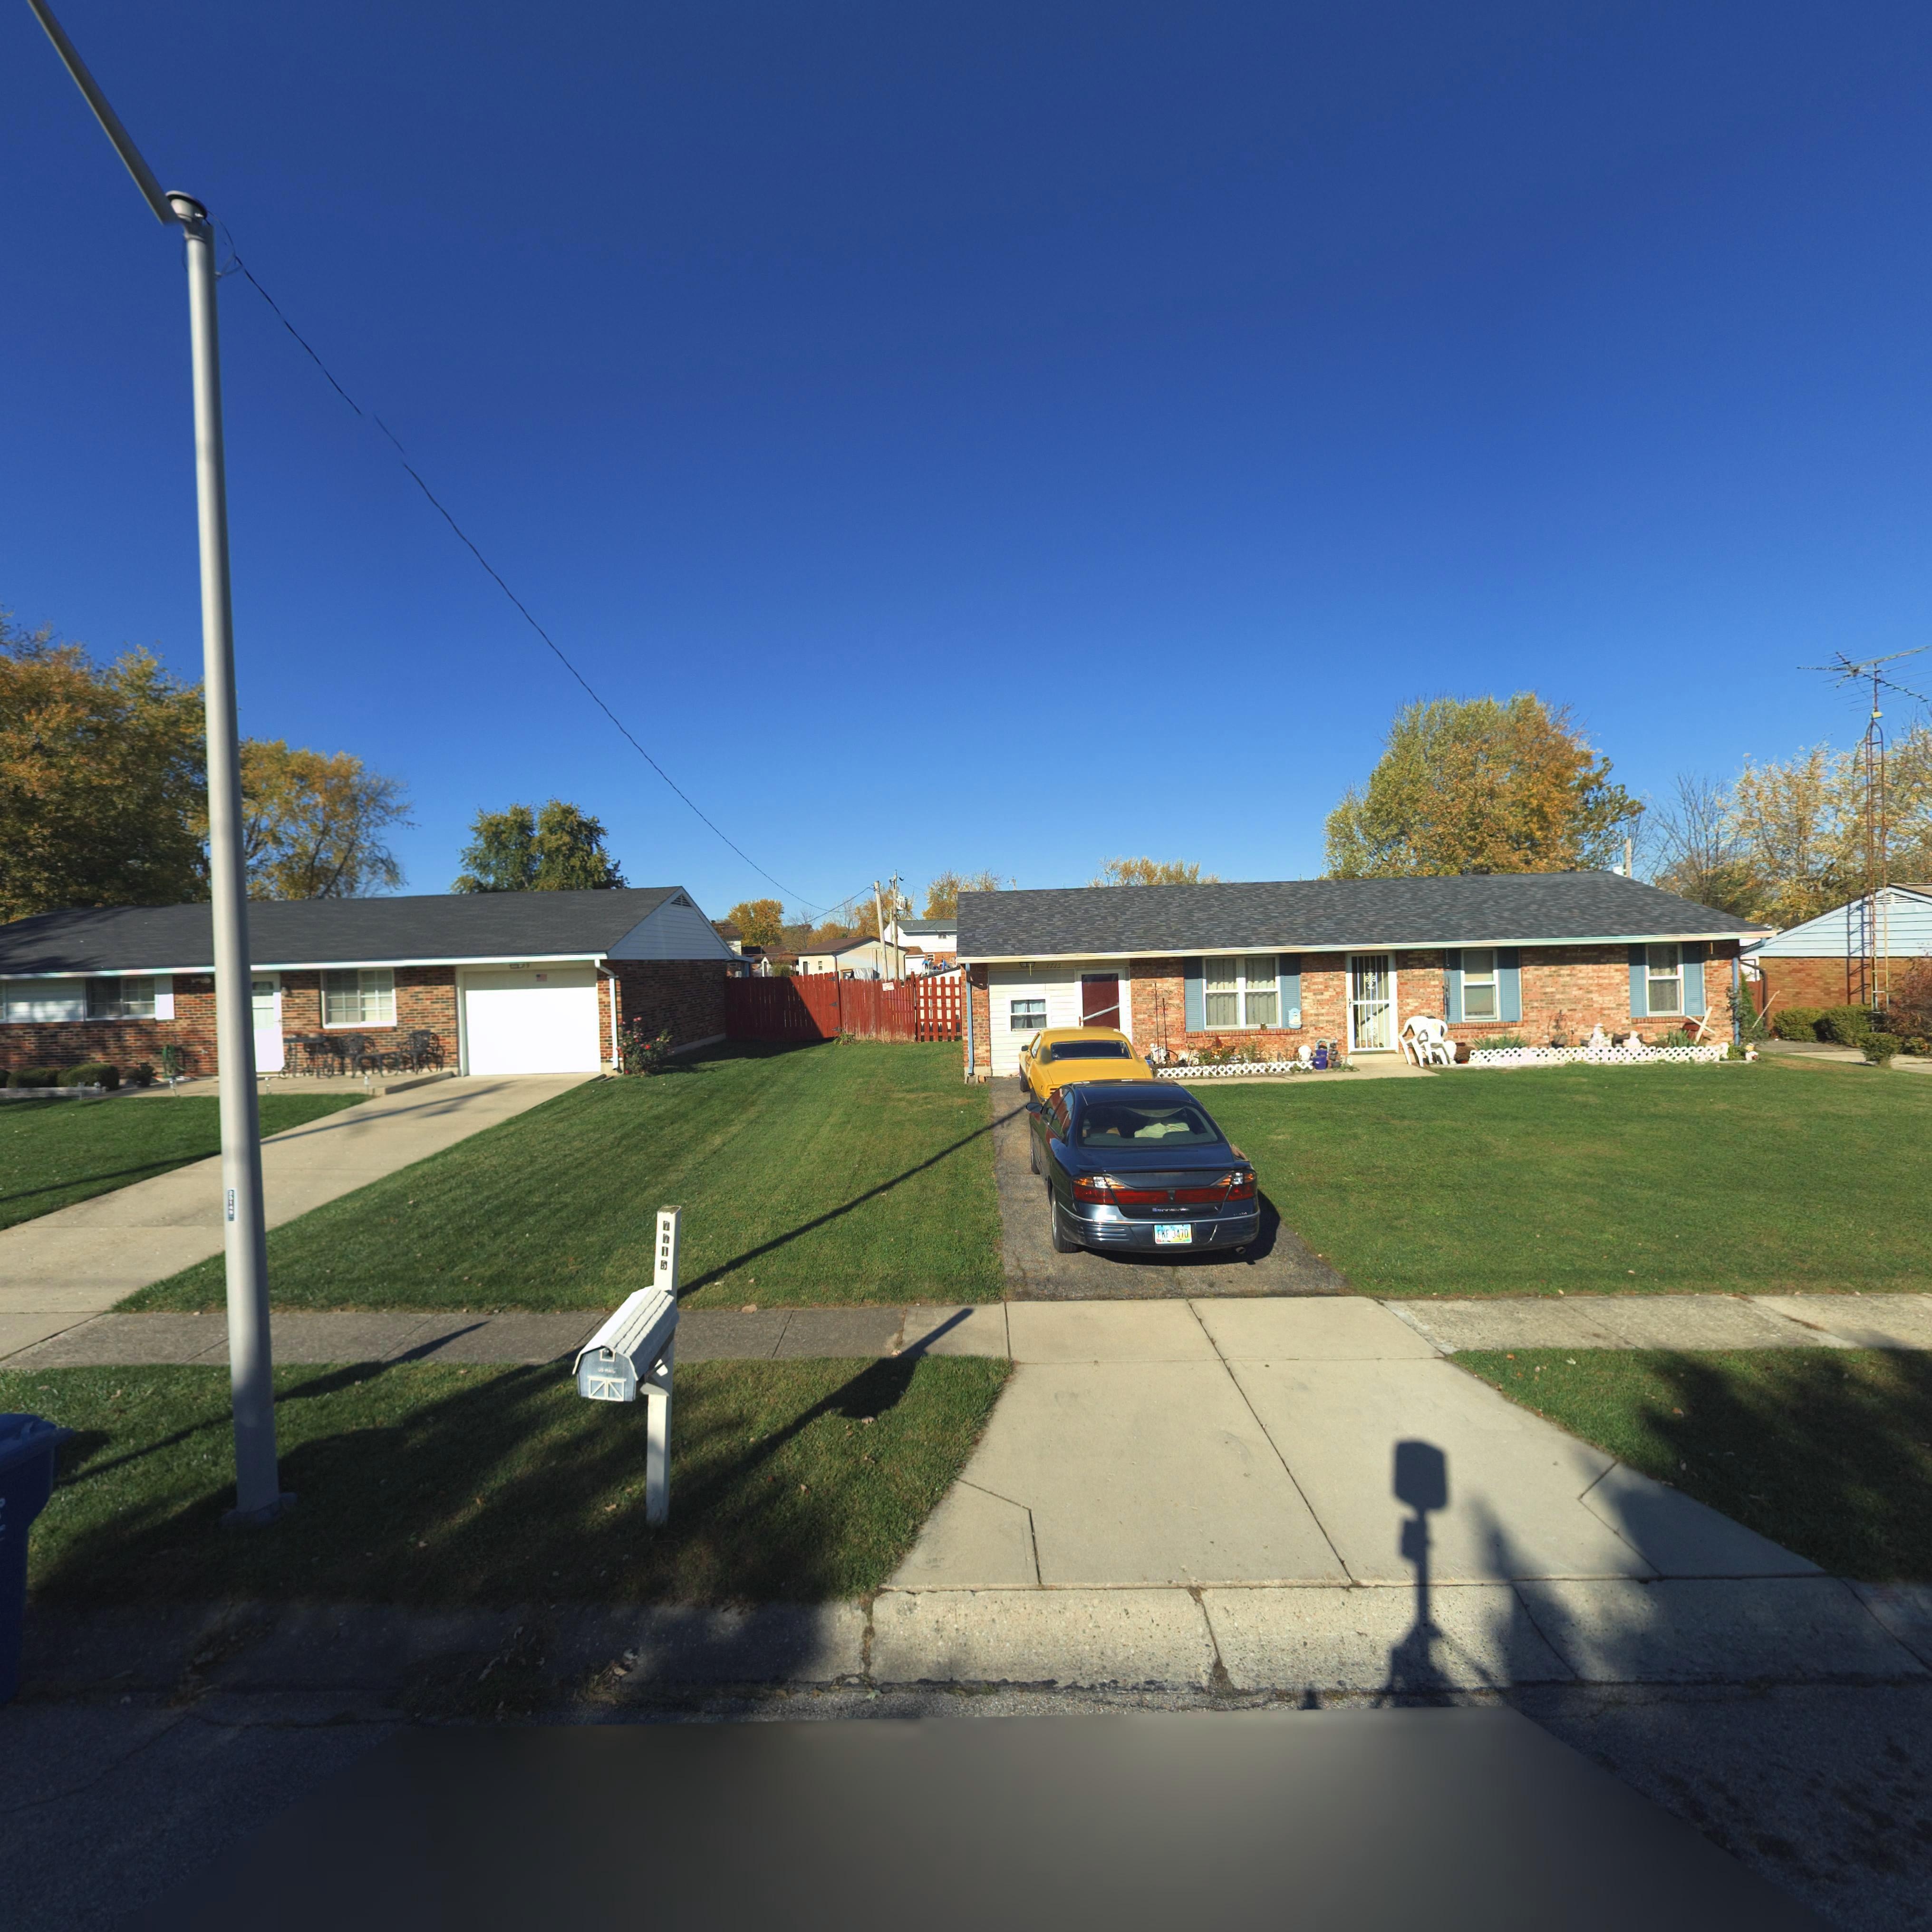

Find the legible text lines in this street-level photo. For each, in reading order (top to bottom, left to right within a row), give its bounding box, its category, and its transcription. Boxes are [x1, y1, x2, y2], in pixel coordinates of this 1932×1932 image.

[525, 961, 531, 969] StreetNumber: 9
[1045, 962, 1062, 969] StreetNumber: 7715
[660, 1220, 670, 1271] StreetNumber: 7*15